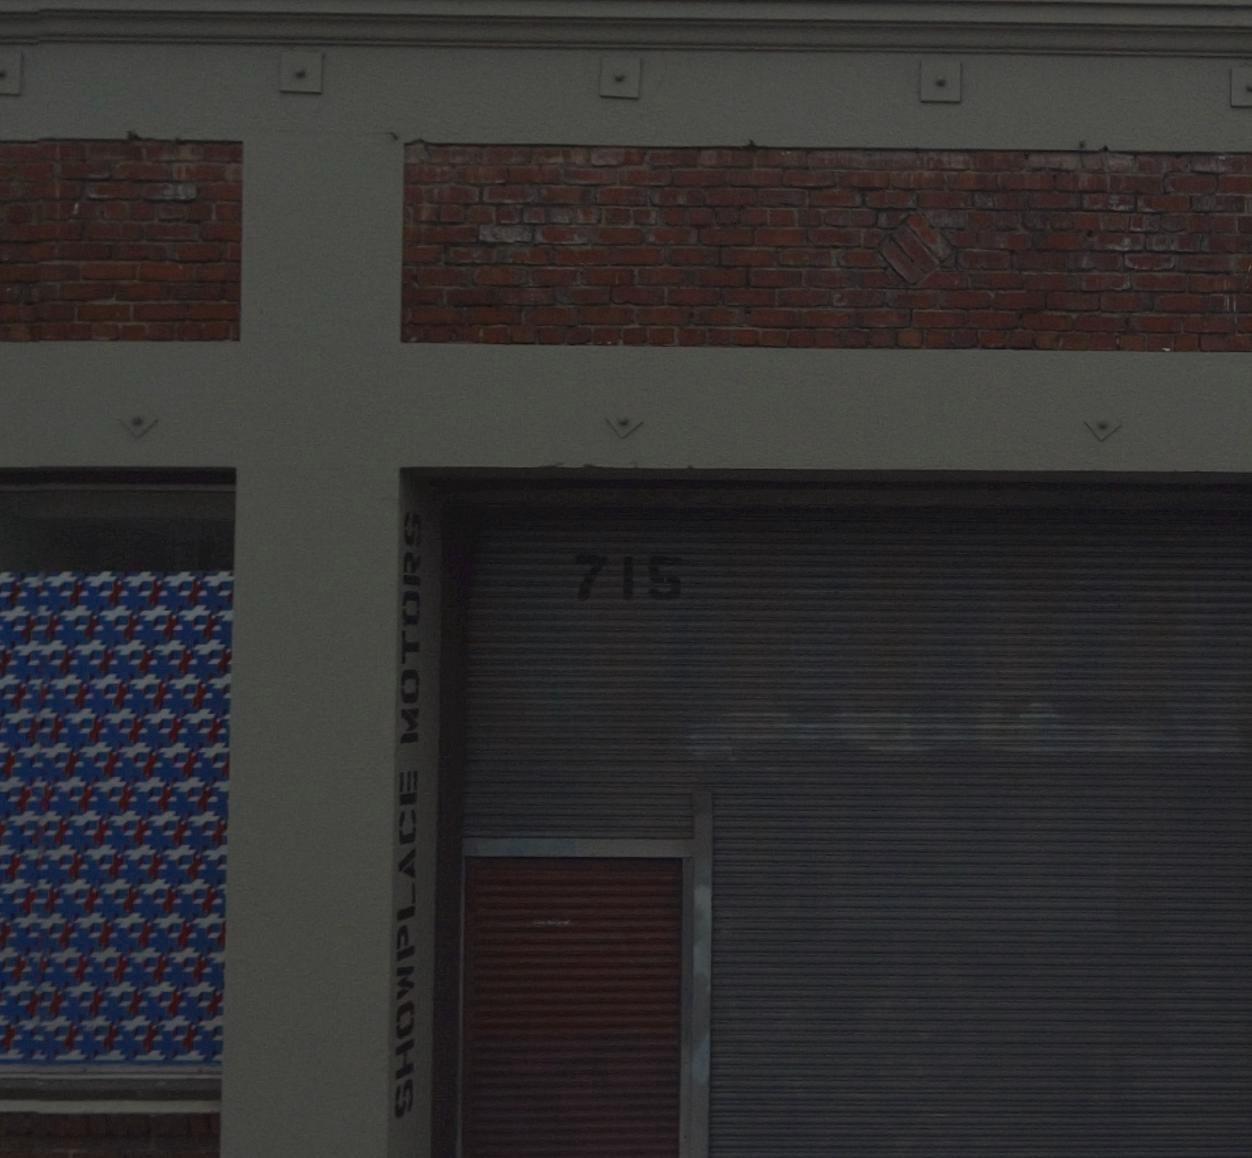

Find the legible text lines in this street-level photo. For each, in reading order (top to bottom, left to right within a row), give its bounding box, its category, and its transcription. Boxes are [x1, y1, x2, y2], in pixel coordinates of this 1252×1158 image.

[389, 504, 426, 1124] BusinessName: SHOWPLACE MOTORS
[571, 551, 686, 604] StreetNumber: 715